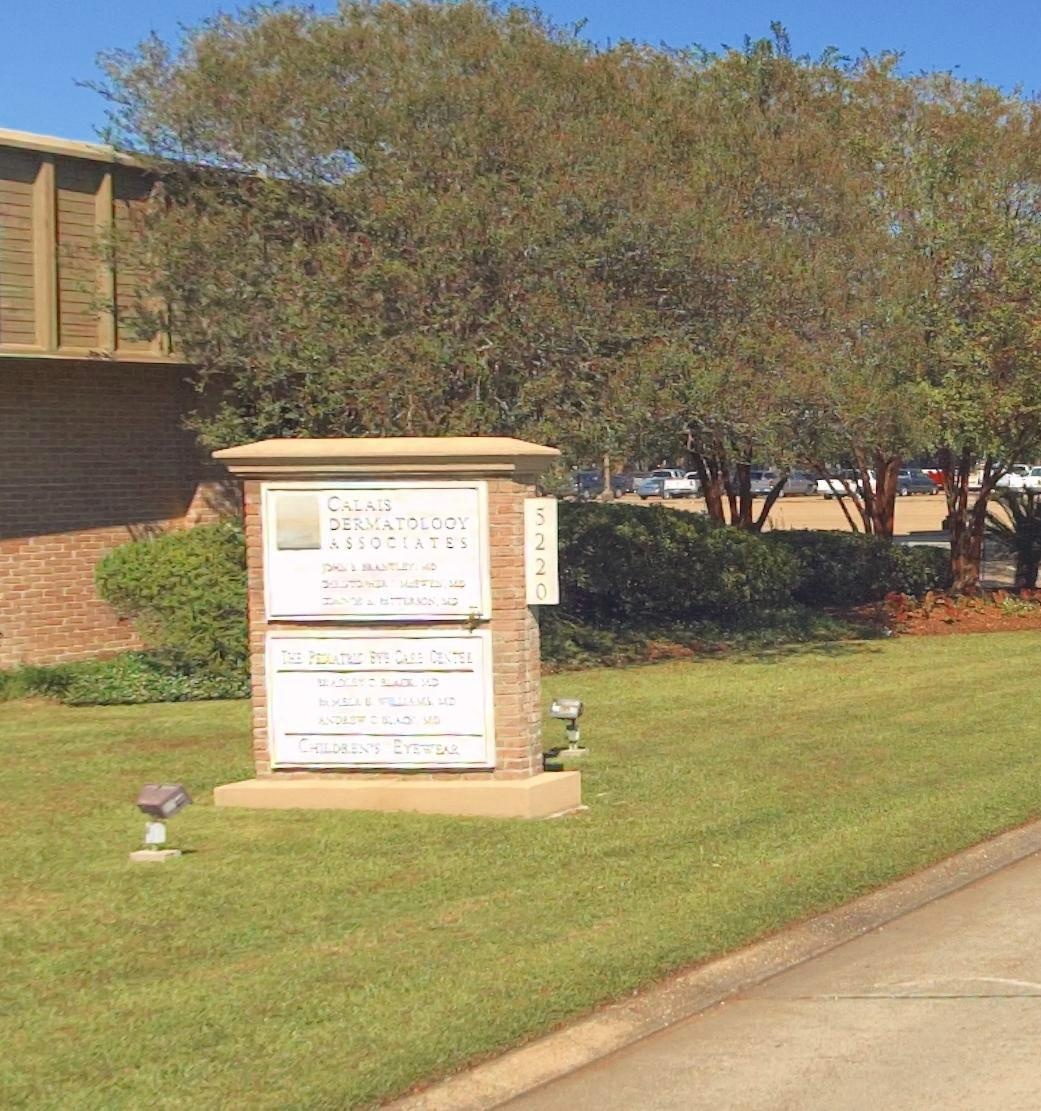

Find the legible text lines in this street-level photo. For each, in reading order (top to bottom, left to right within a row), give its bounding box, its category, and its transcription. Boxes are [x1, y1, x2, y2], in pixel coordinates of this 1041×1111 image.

[324, 492, 394, 515] BusinessName: CALAIS
[326, 513, 473, 534] BusinessName: DERMATOLOGY
[326, 533, 472, 553] BusinessName: ASSOCIATES
[532, 504, 549, 602] StreetNumber: 5220
[278, 646, 477, 668] BusinessName: THE P**ATRIC EYE CARE CENTER
[378, 675, 443, 691] None: BLACK MD
[374, 693, 461, 709] None: WILLIAMS MD
[294, 734, 464, 758] None: CHILDREN'S EYEWEAR